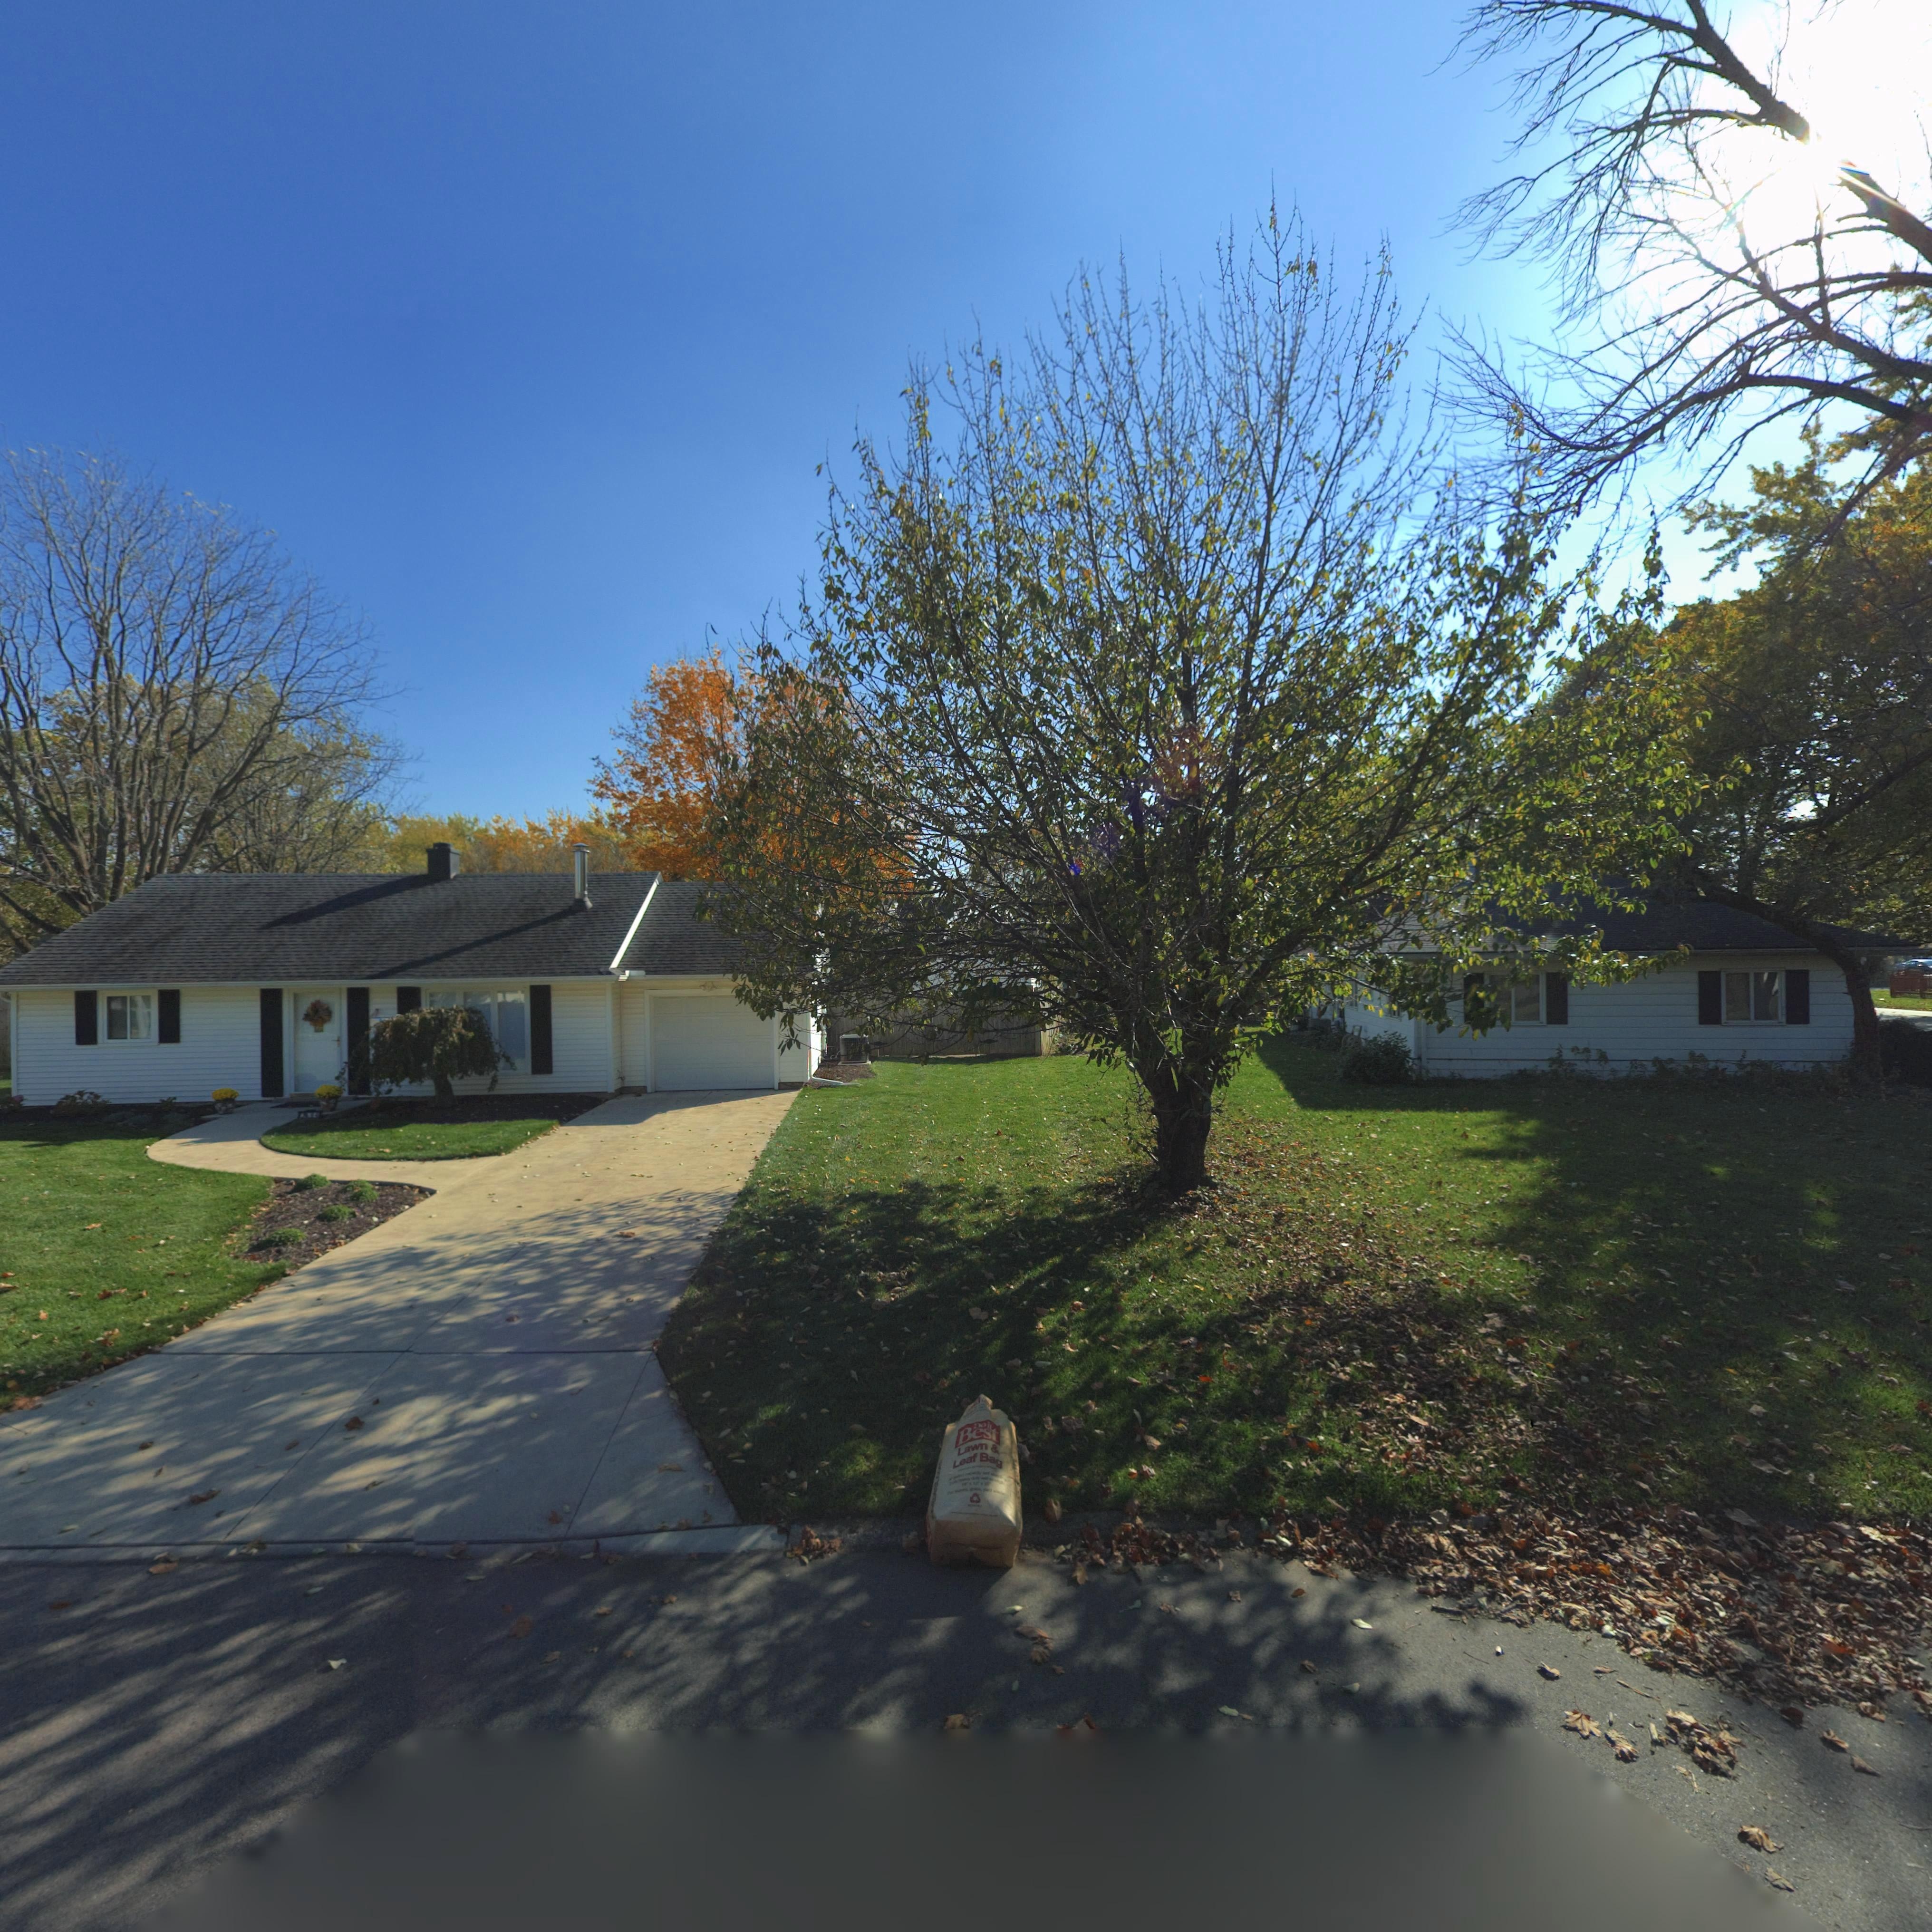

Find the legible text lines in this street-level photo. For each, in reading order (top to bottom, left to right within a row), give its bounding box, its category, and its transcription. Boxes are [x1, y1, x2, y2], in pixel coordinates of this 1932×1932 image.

[956, 1425, 1000, 1447] None: Best
[956, 1441, 990, 1459] None: Lawn
[952, 1451, 1004, 1470] None: Leaf Bag